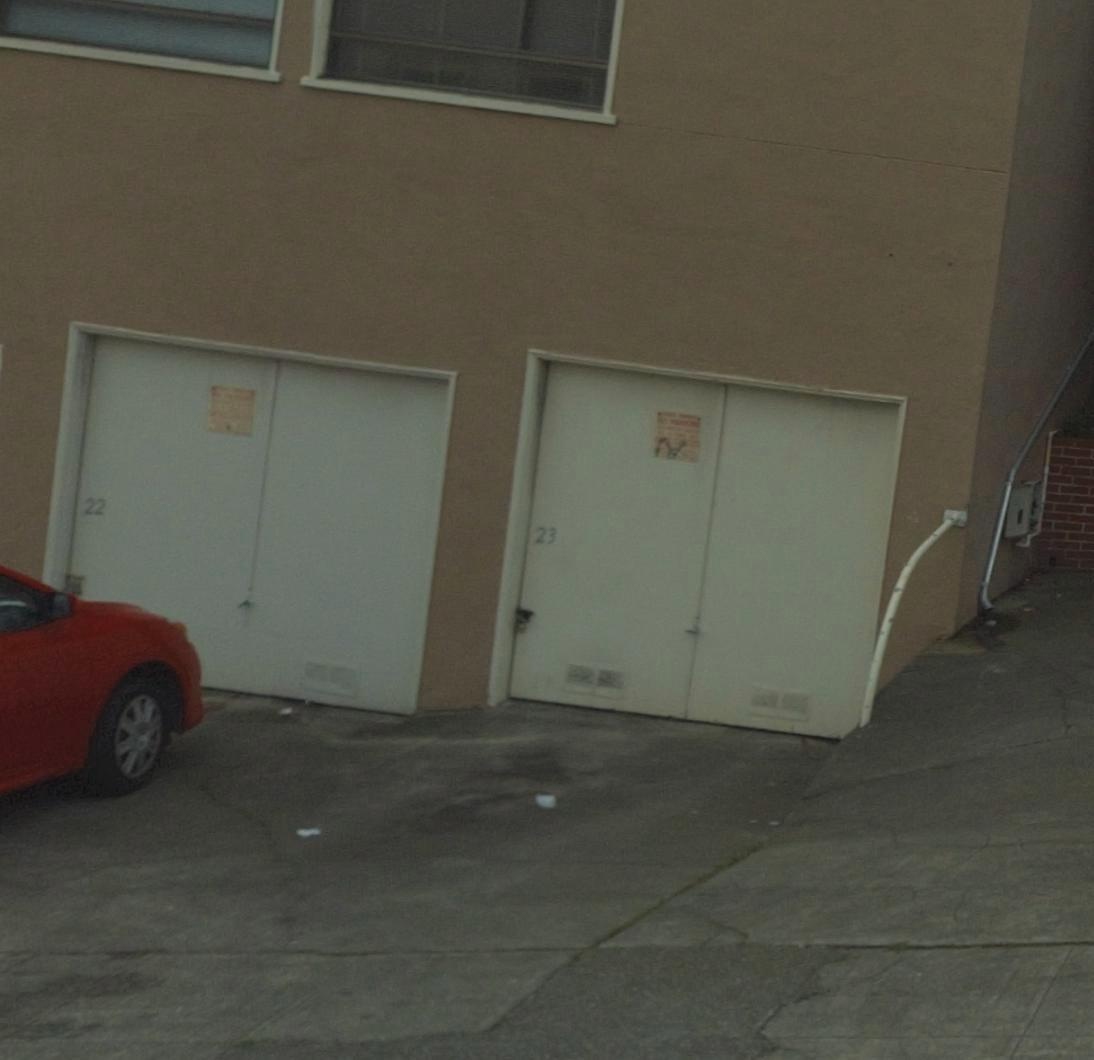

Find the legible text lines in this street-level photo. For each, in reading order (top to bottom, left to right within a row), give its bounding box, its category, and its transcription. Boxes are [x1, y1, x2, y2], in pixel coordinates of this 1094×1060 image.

[82, 496, 107, 516] StreetNumber: 22
[533, 525, 558, 546] StreetNumber: 23